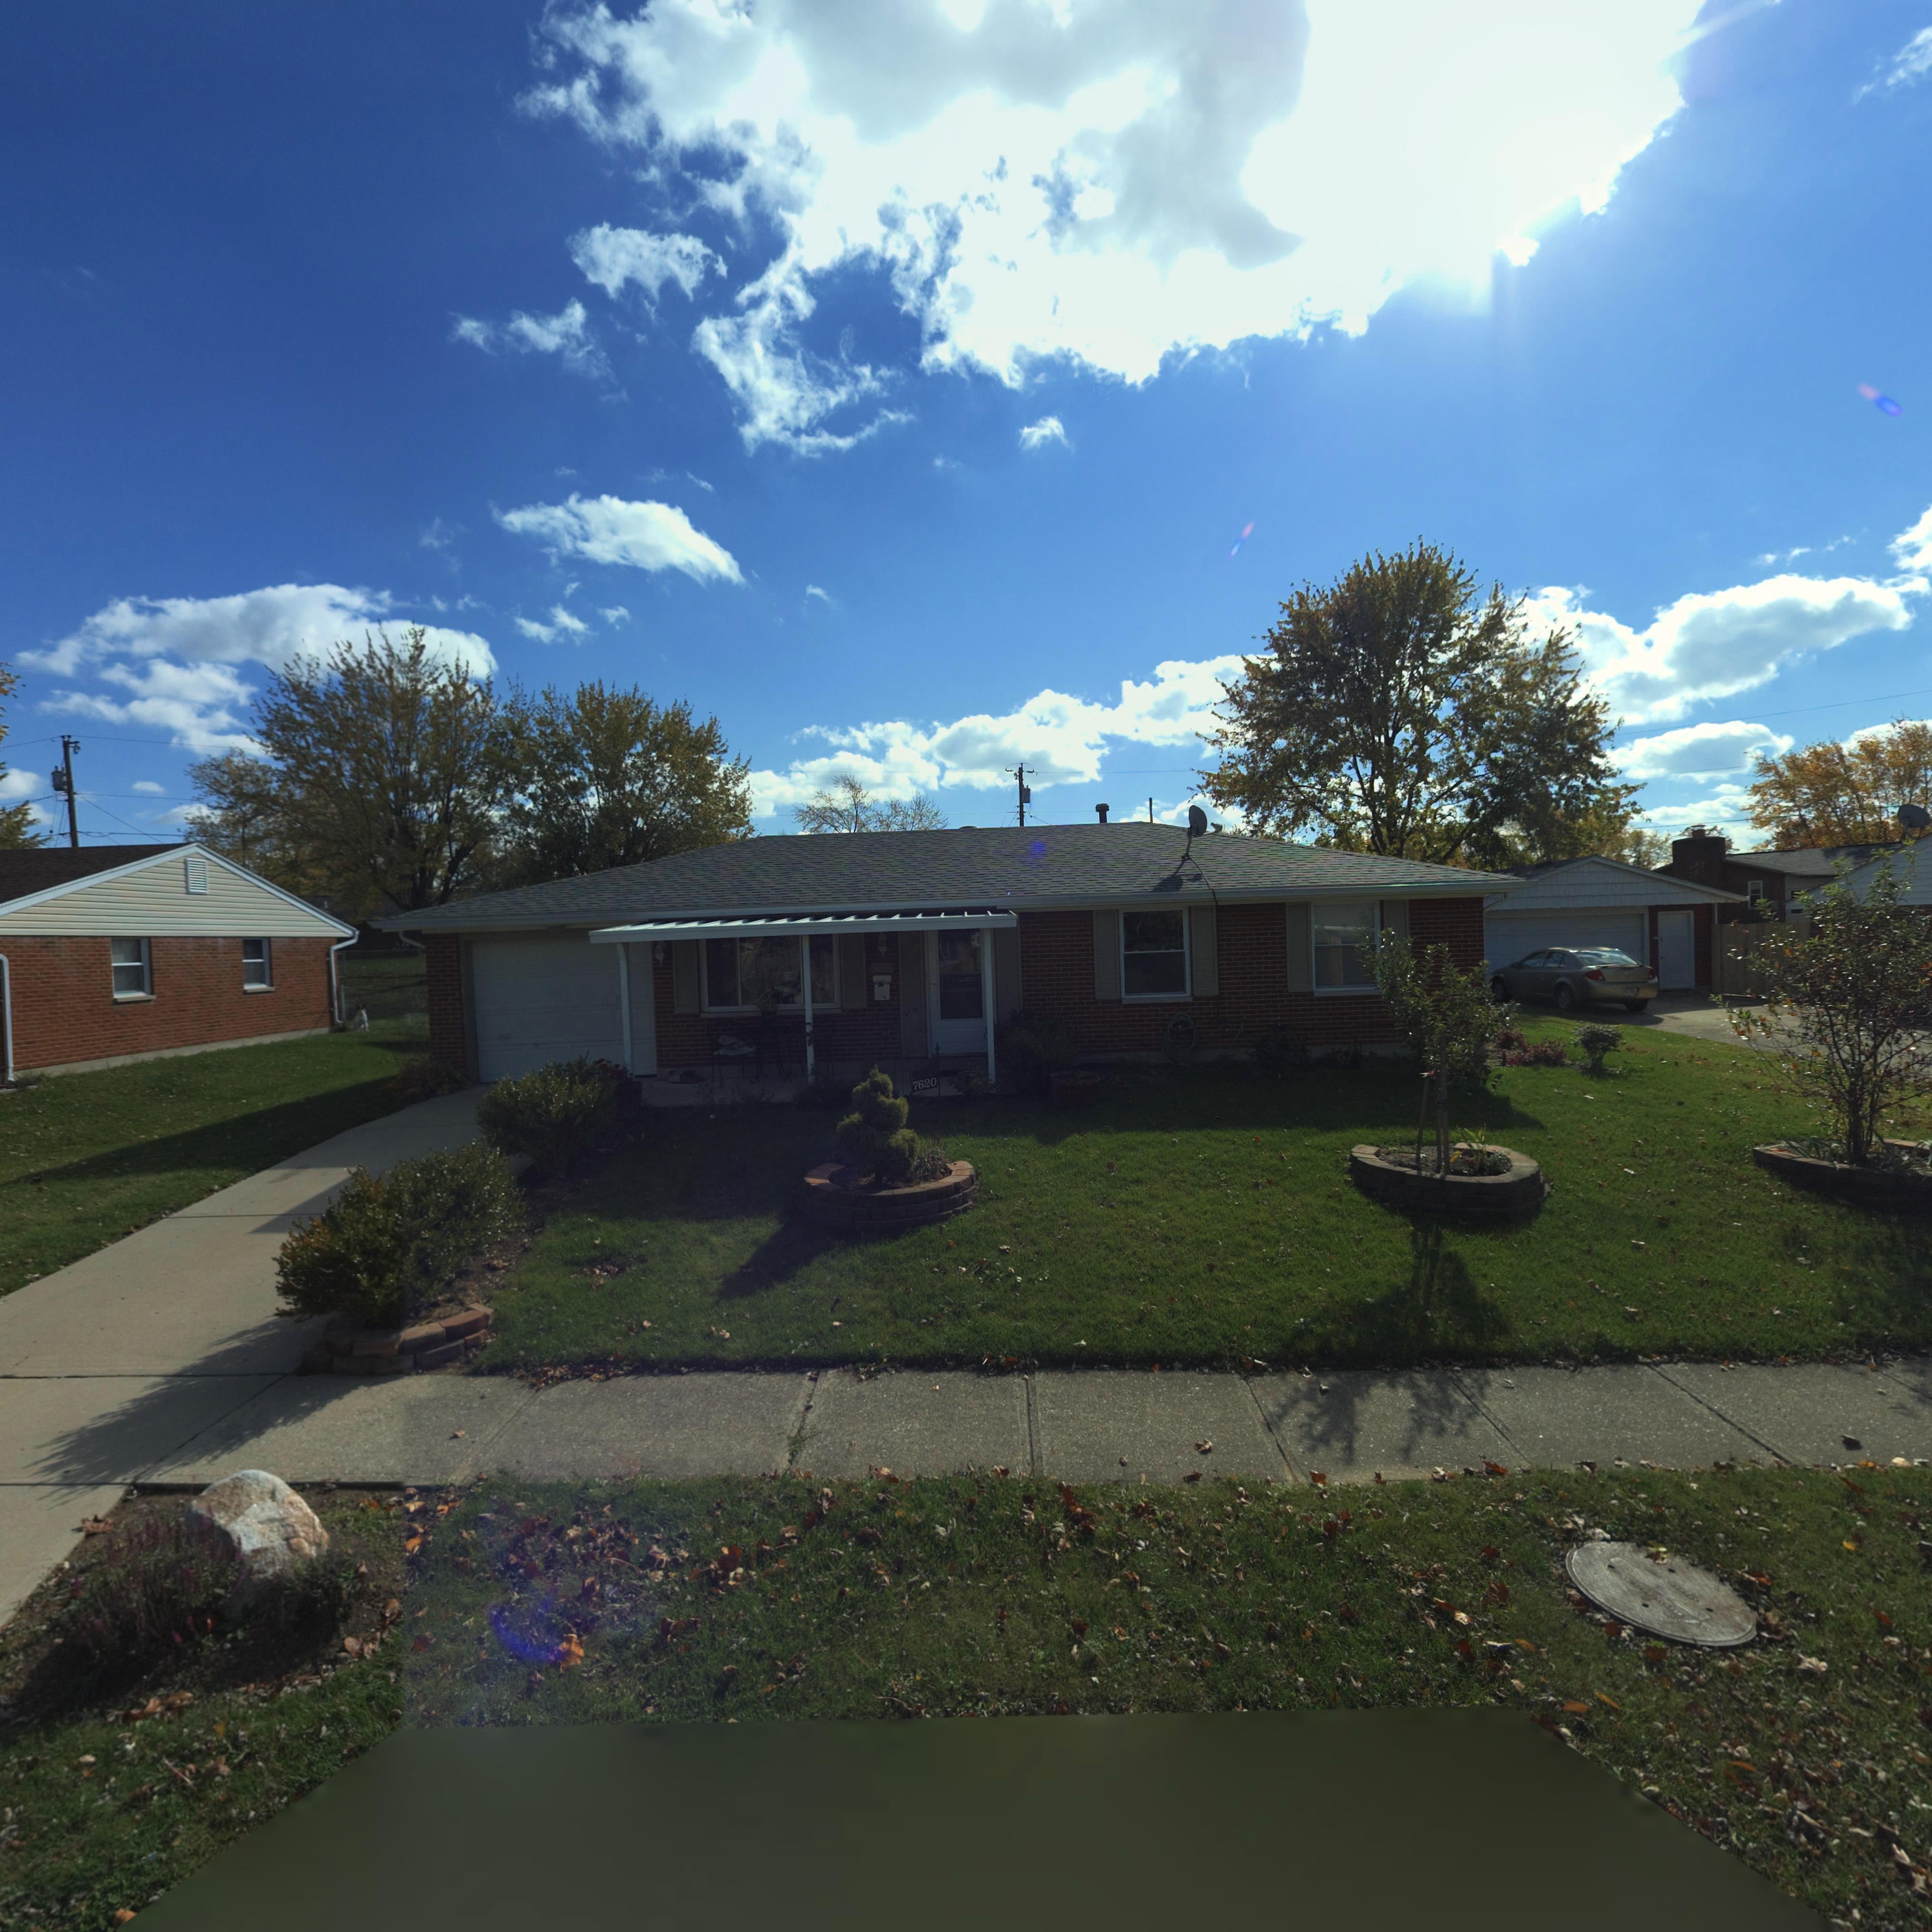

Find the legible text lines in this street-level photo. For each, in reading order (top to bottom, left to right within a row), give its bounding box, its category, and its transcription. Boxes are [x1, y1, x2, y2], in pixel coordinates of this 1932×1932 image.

[912, 1076, 937, 1091] StreetNumber: 7620